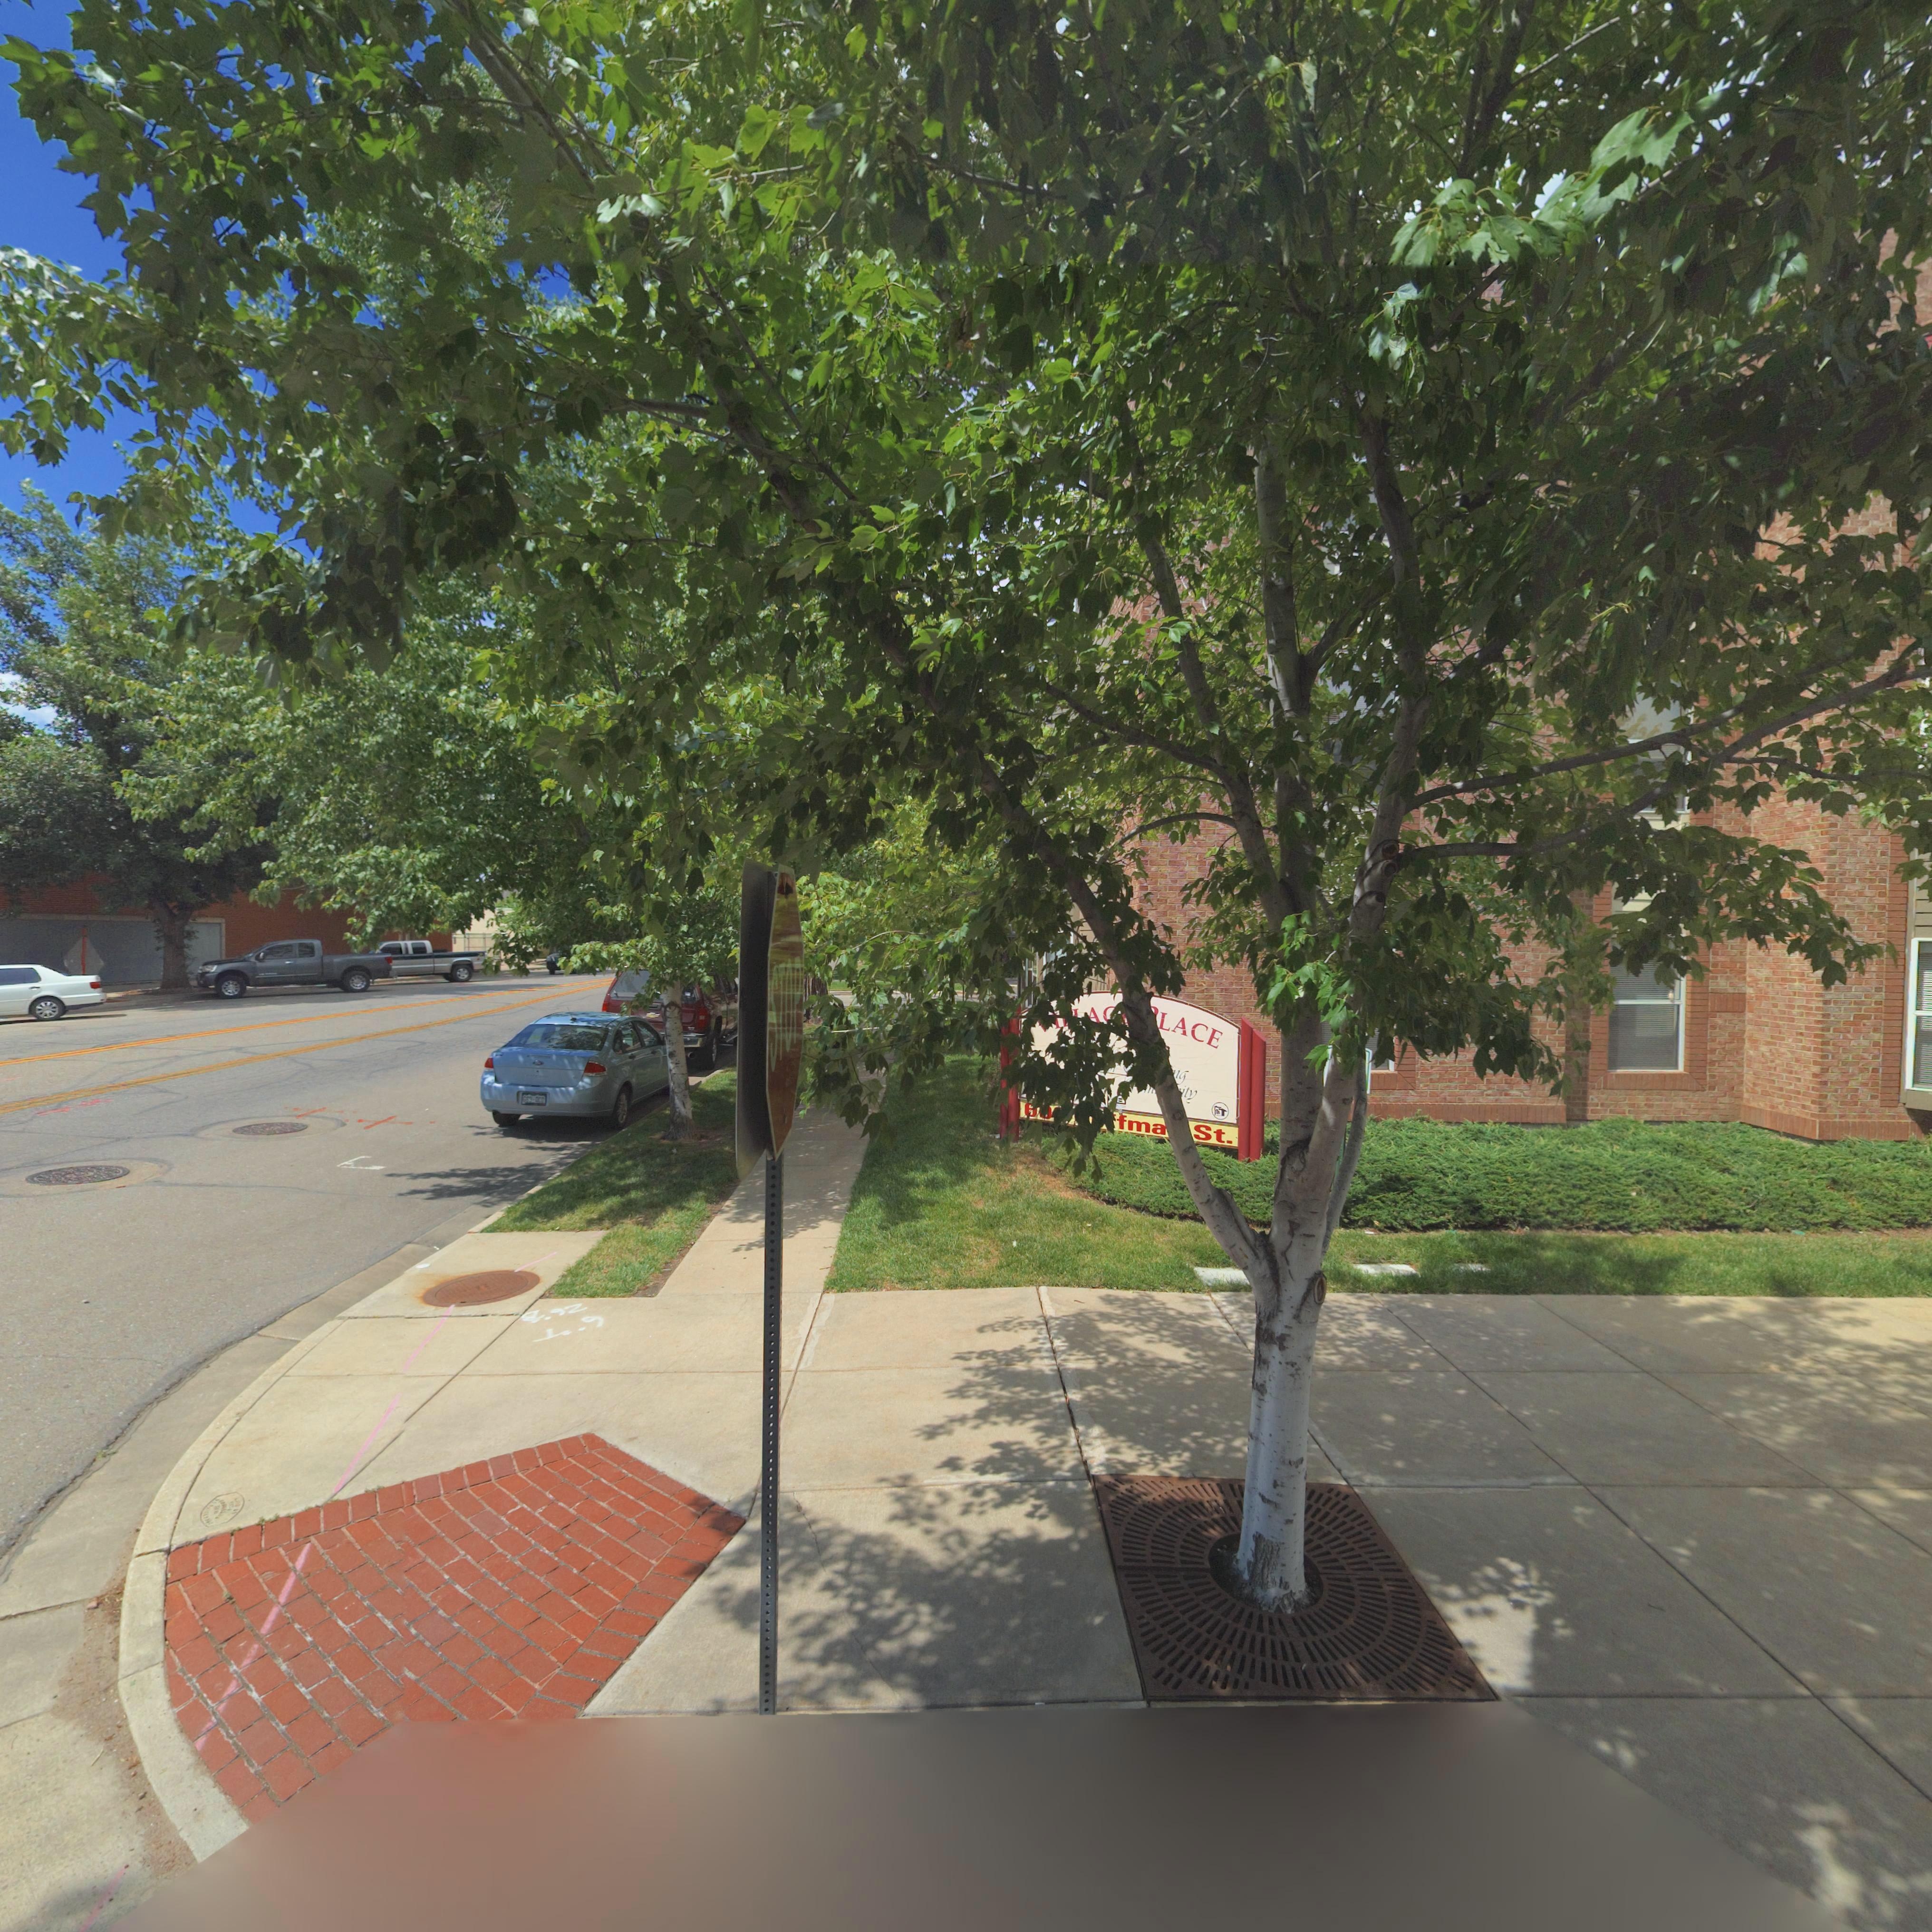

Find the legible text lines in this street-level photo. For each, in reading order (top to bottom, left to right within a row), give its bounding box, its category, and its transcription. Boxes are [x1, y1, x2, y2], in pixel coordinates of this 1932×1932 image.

[1034, 1005, 1224, 1050] BusinessName: *I**A** *LACE
[1023, 1101, 1066, 1121] StreetNumber: *0*
[1115, 1114, 1234, 1145] StreetName: fma* St.